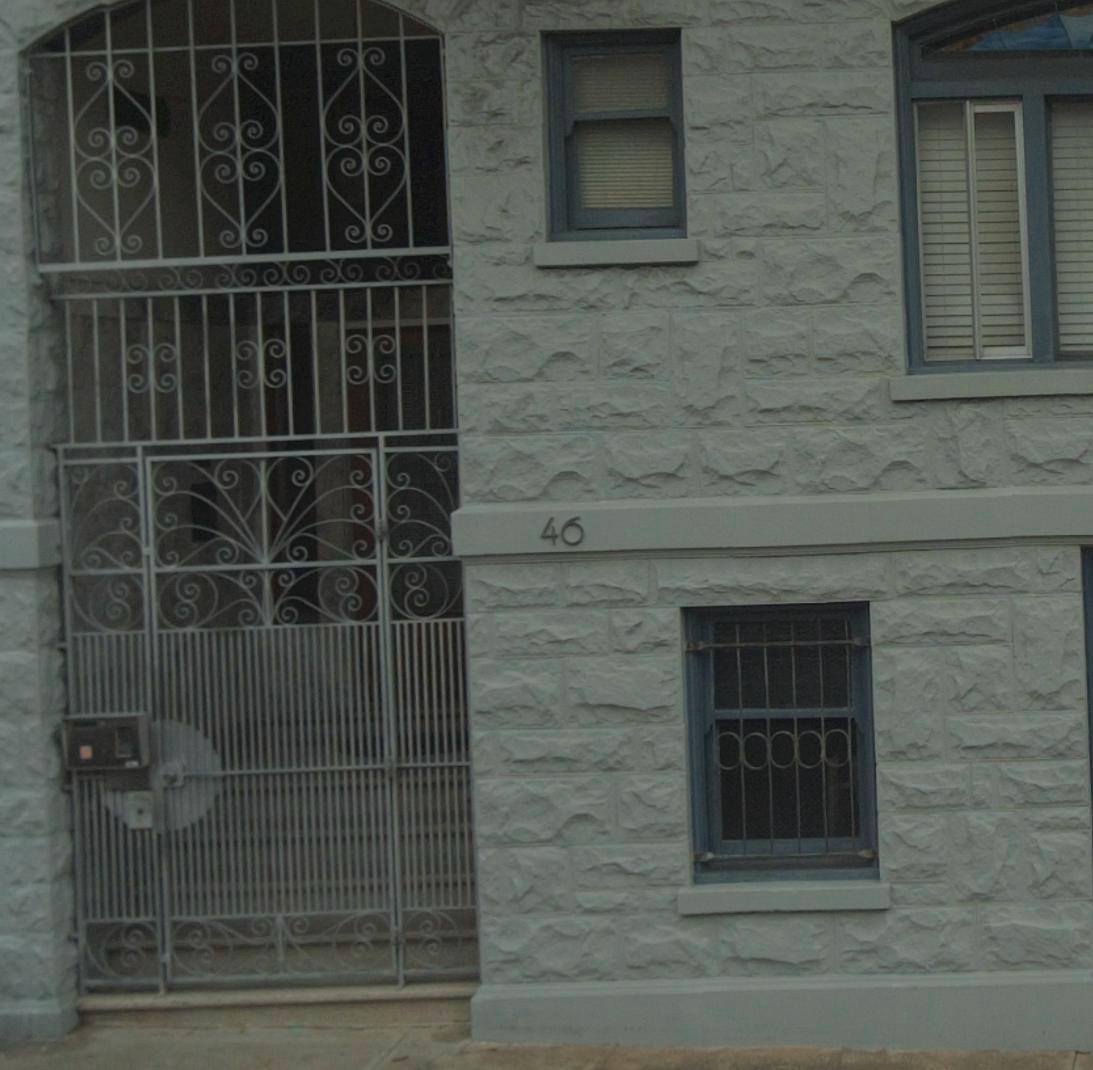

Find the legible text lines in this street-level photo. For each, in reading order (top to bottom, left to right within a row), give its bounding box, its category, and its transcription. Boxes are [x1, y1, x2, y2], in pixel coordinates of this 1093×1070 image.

[538, 515, 588, 547] StreetNumber: 46